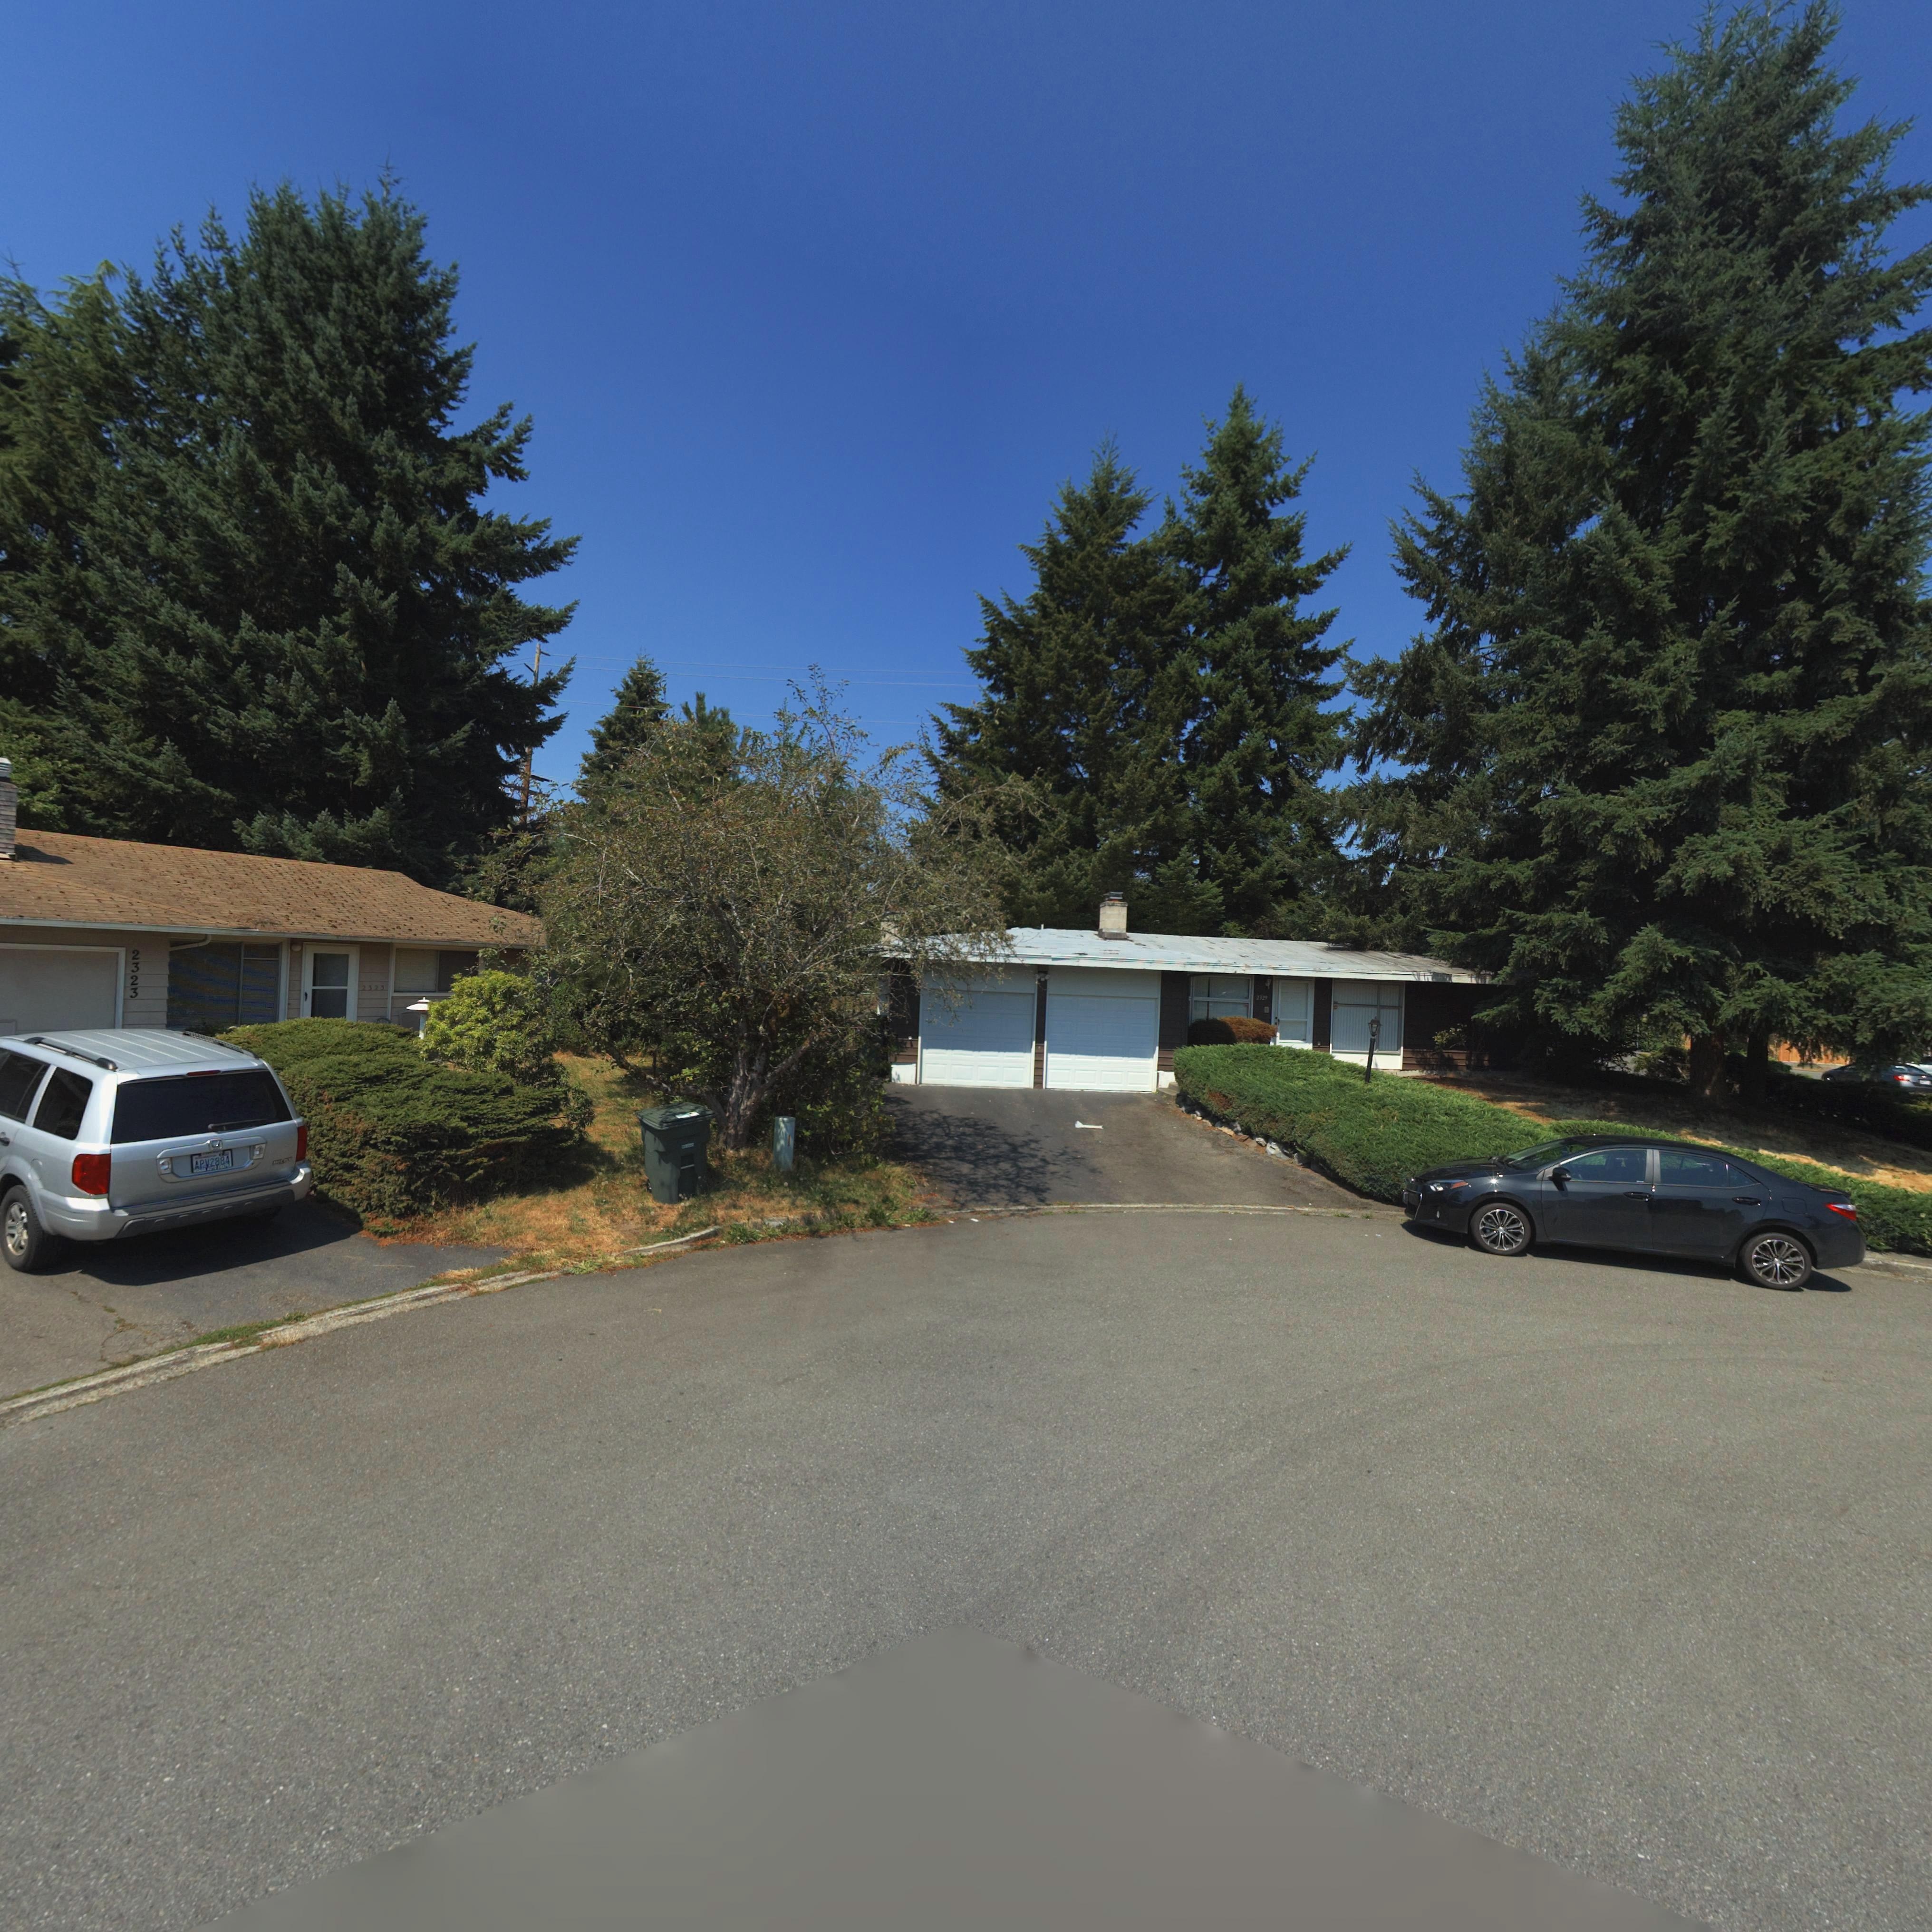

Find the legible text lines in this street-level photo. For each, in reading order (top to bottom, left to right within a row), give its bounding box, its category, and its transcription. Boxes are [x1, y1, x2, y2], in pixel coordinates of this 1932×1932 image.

[129, 948, 139, 999] StreetNumber: 2323
[1256, 995, 1268, 1000] StreetNumber: 2329